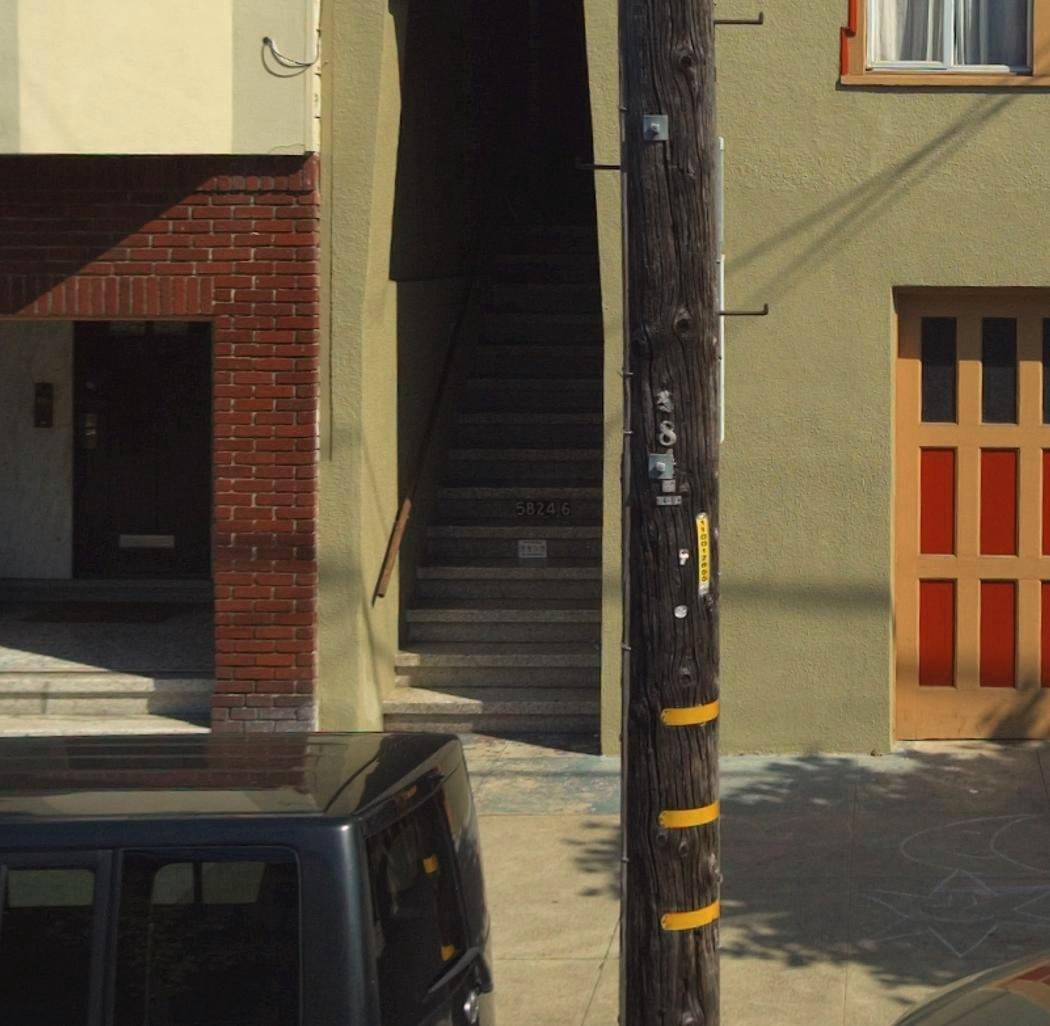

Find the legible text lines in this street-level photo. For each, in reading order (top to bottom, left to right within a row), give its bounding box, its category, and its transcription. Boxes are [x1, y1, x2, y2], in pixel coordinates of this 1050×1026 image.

[654, 418, 678, 446] None: 8
[515, 500, 573, 518] StreetNumber: 5824 6
[698, 516, 707, 582] None: 110012800